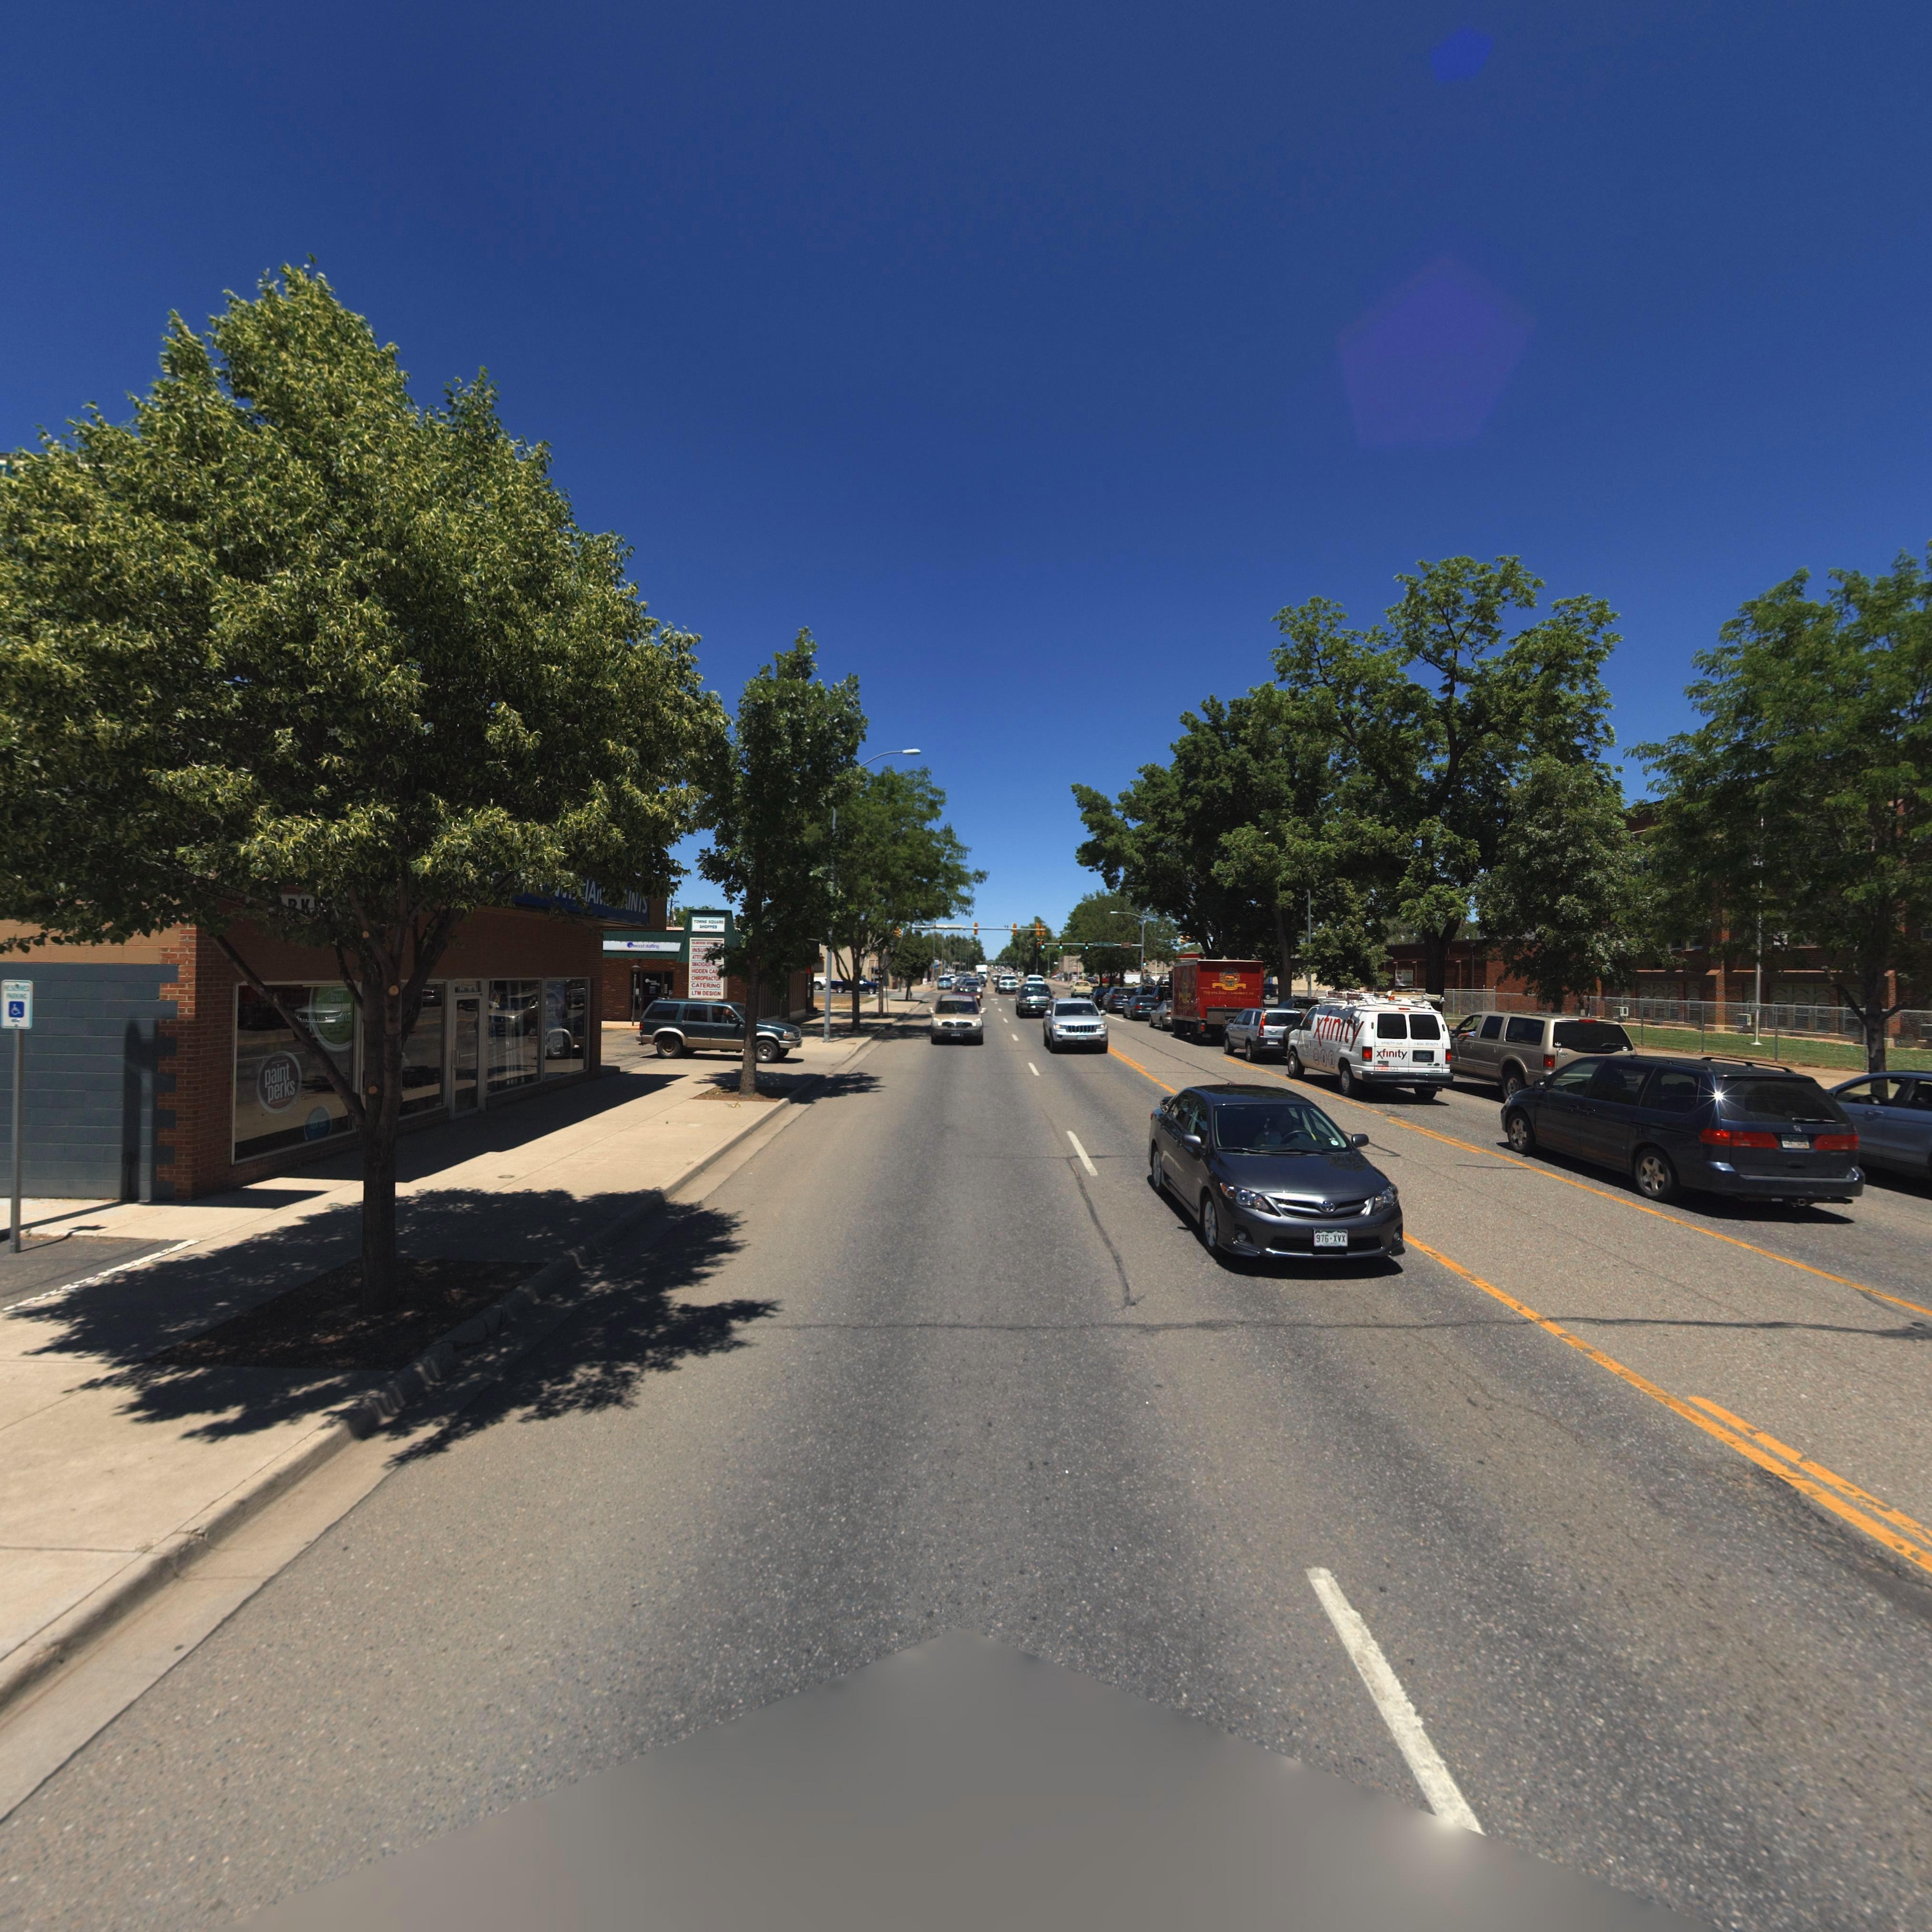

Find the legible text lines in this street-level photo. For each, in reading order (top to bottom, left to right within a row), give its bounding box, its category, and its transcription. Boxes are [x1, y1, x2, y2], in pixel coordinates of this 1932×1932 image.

[554, 870, 648, 914] BusinessName: ****IAM* *AINTS
[628, 942, 659, 949] BusinessName: **wood *t*ff**g
[692, 941, 722, 945] BusinessName: **W*OD STA****G
[692, 955, 703, 959] BusinessName: ATTITU
[692, 962, 715, 967] BusinessName: SMACKD*DD*
[691, 969, 718, 974] BusinessName: HIDDEN CAF
[458, 986, 465, 992] StreetNumber: **5
[473, 986, 478, 991] StreetName: S*
[691, 990, 721, 996] BusinessName: LTM DESIGN